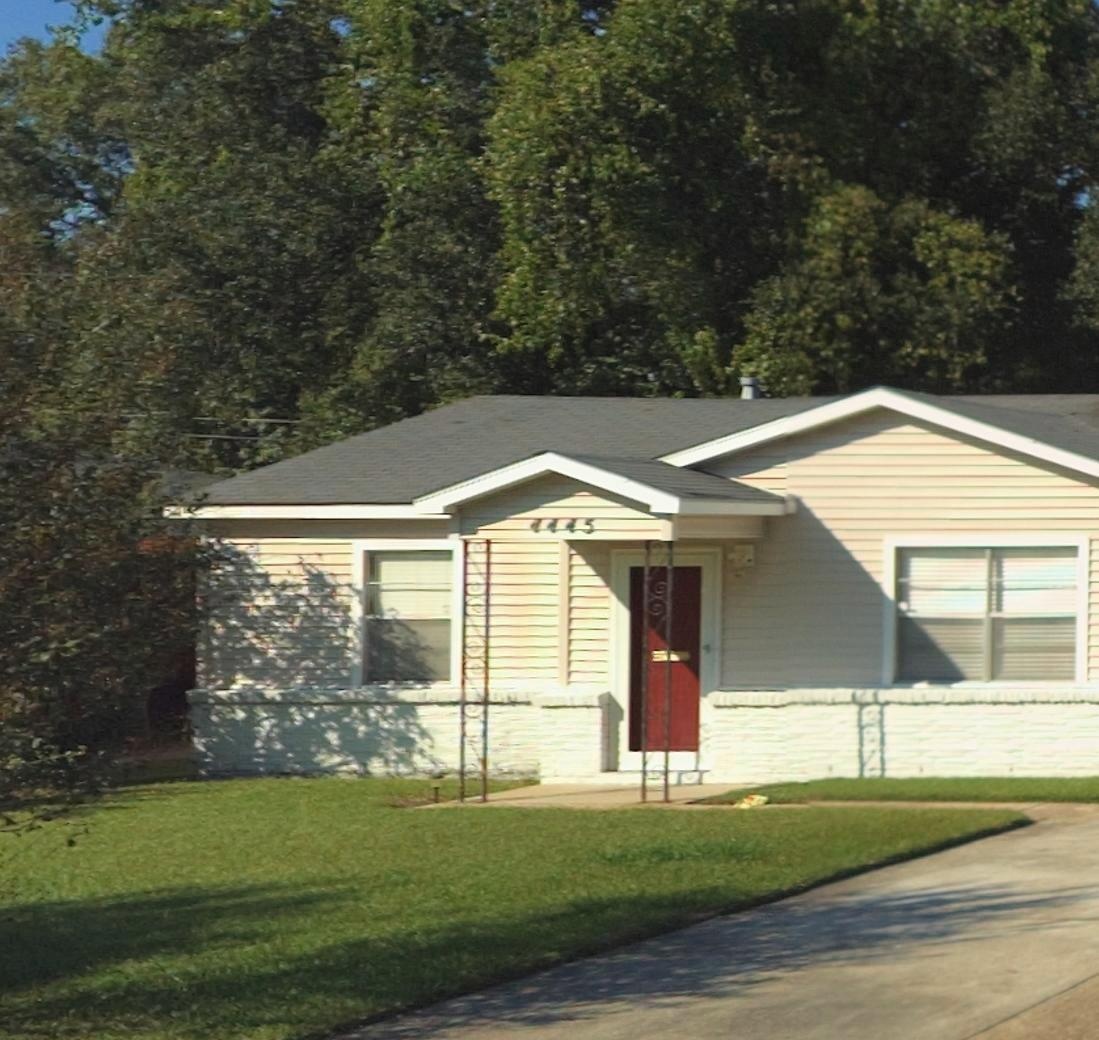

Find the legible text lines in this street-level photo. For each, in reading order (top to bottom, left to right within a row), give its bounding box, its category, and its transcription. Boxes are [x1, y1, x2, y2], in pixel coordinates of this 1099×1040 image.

[528, 517, 599, 535] StreetNumber: 4445